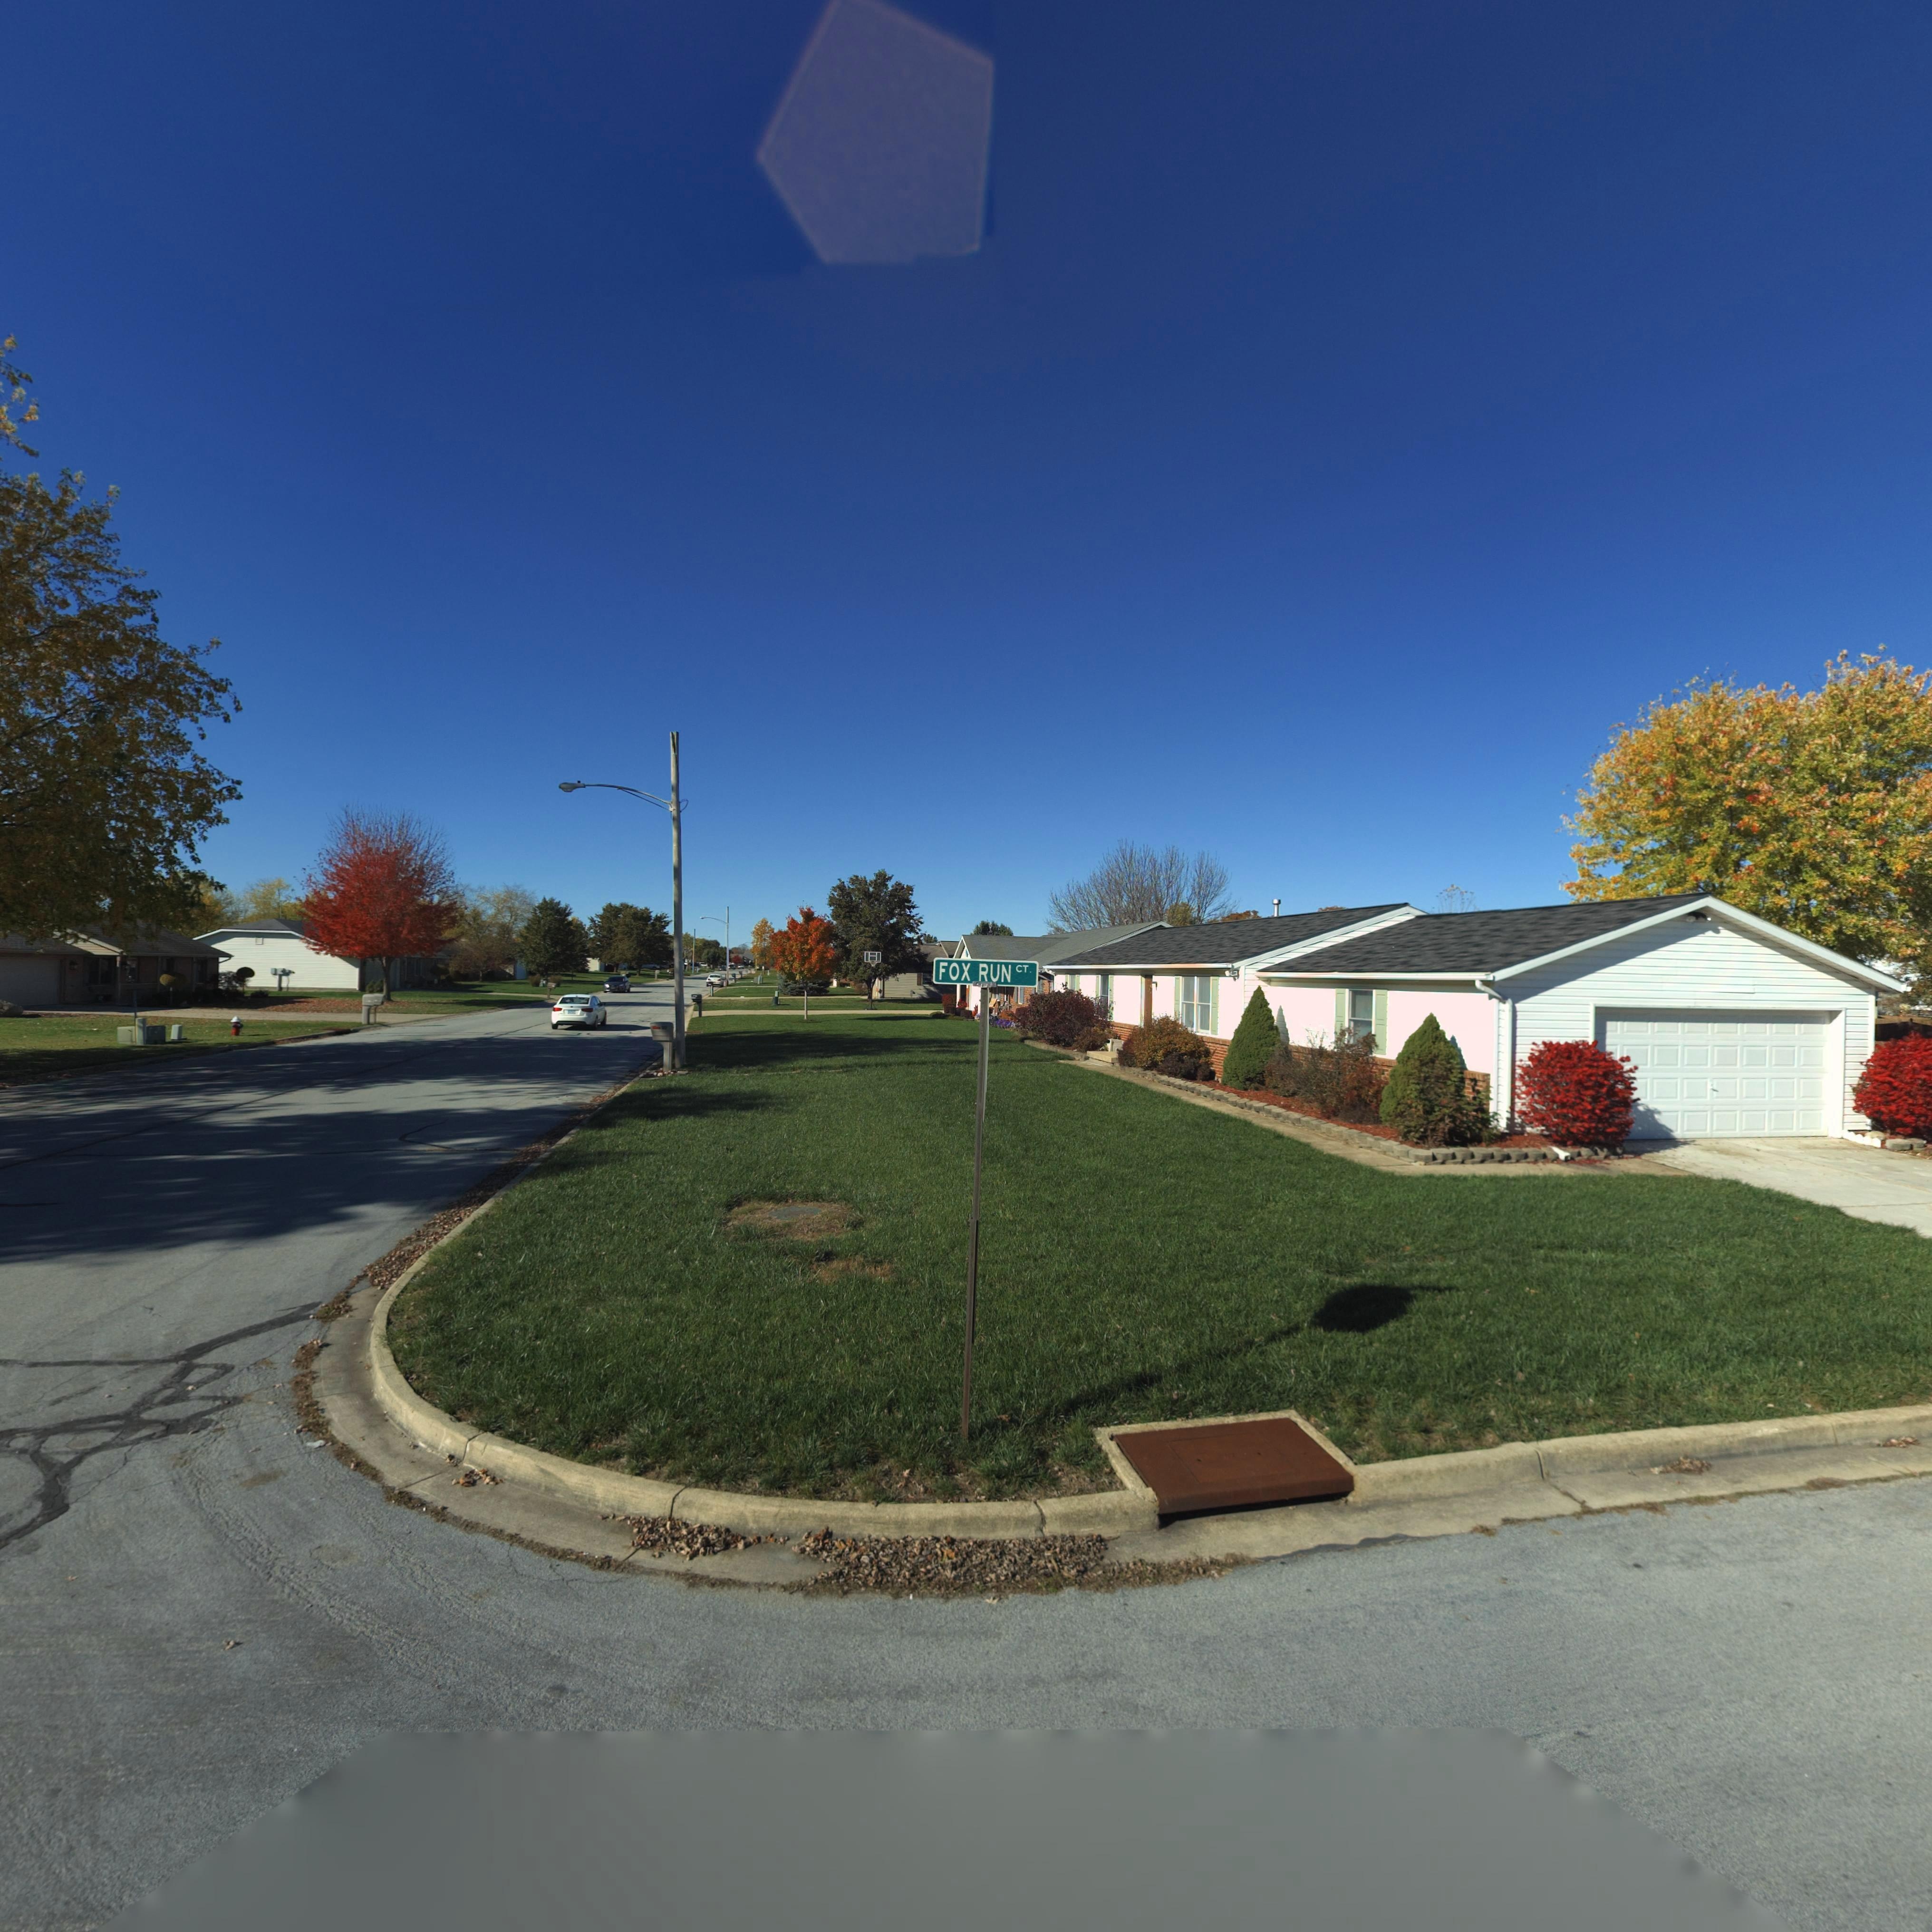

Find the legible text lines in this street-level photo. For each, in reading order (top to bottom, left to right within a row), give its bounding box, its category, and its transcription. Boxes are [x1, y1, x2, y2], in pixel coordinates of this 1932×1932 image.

[661, 1025, 667, 1030] StreetNumber: 122